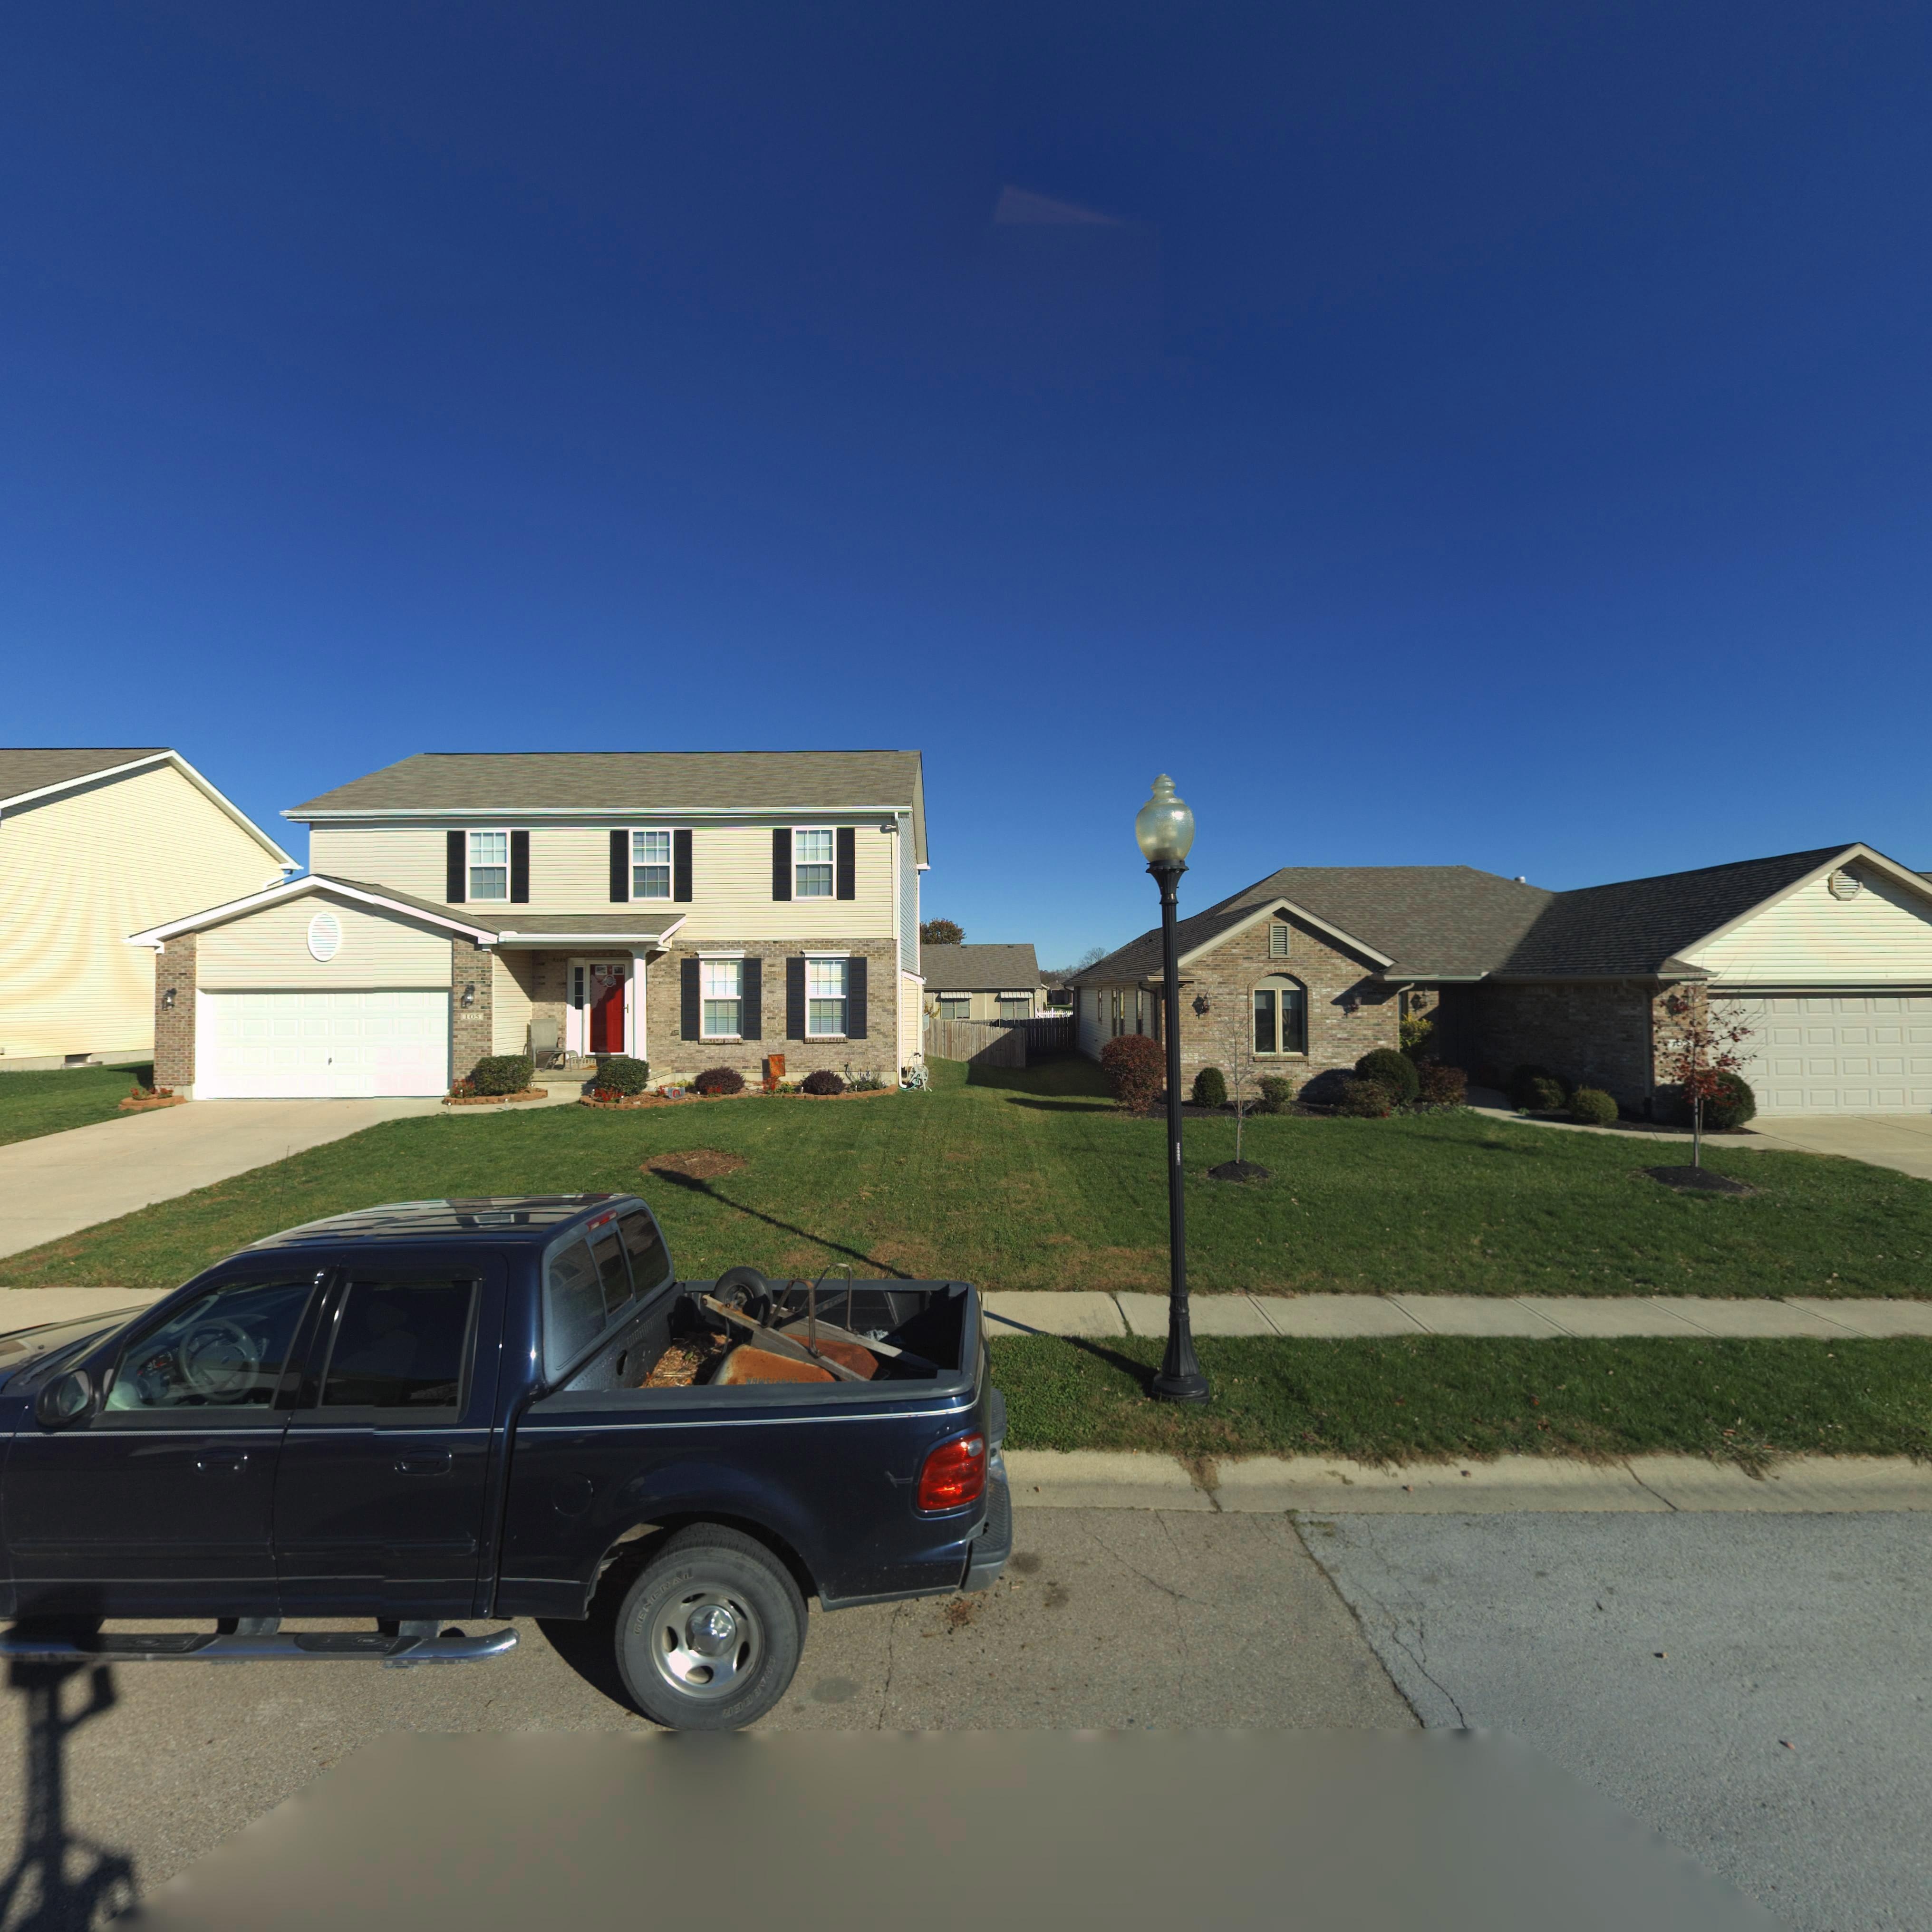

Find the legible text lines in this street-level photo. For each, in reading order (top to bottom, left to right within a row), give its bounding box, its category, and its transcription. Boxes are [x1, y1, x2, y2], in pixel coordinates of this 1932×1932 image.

[464, 1014, 480, 1020] StreetNumber: 105